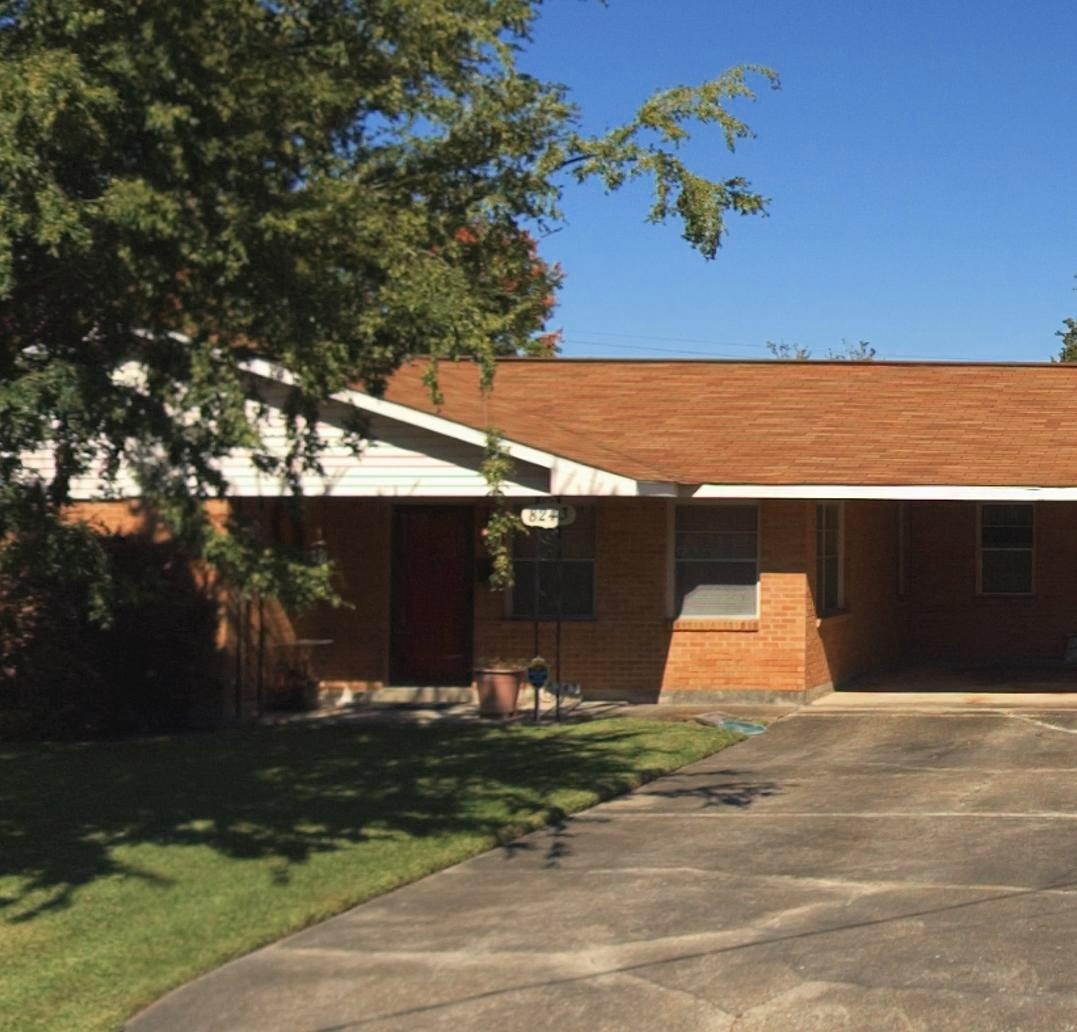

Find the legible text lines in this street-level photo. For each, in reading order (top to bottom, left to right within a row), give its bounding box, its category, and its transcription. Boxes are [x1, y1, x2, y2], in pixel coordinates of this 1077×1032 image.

[526, 505, 571, 525] StreetNumber: 8243